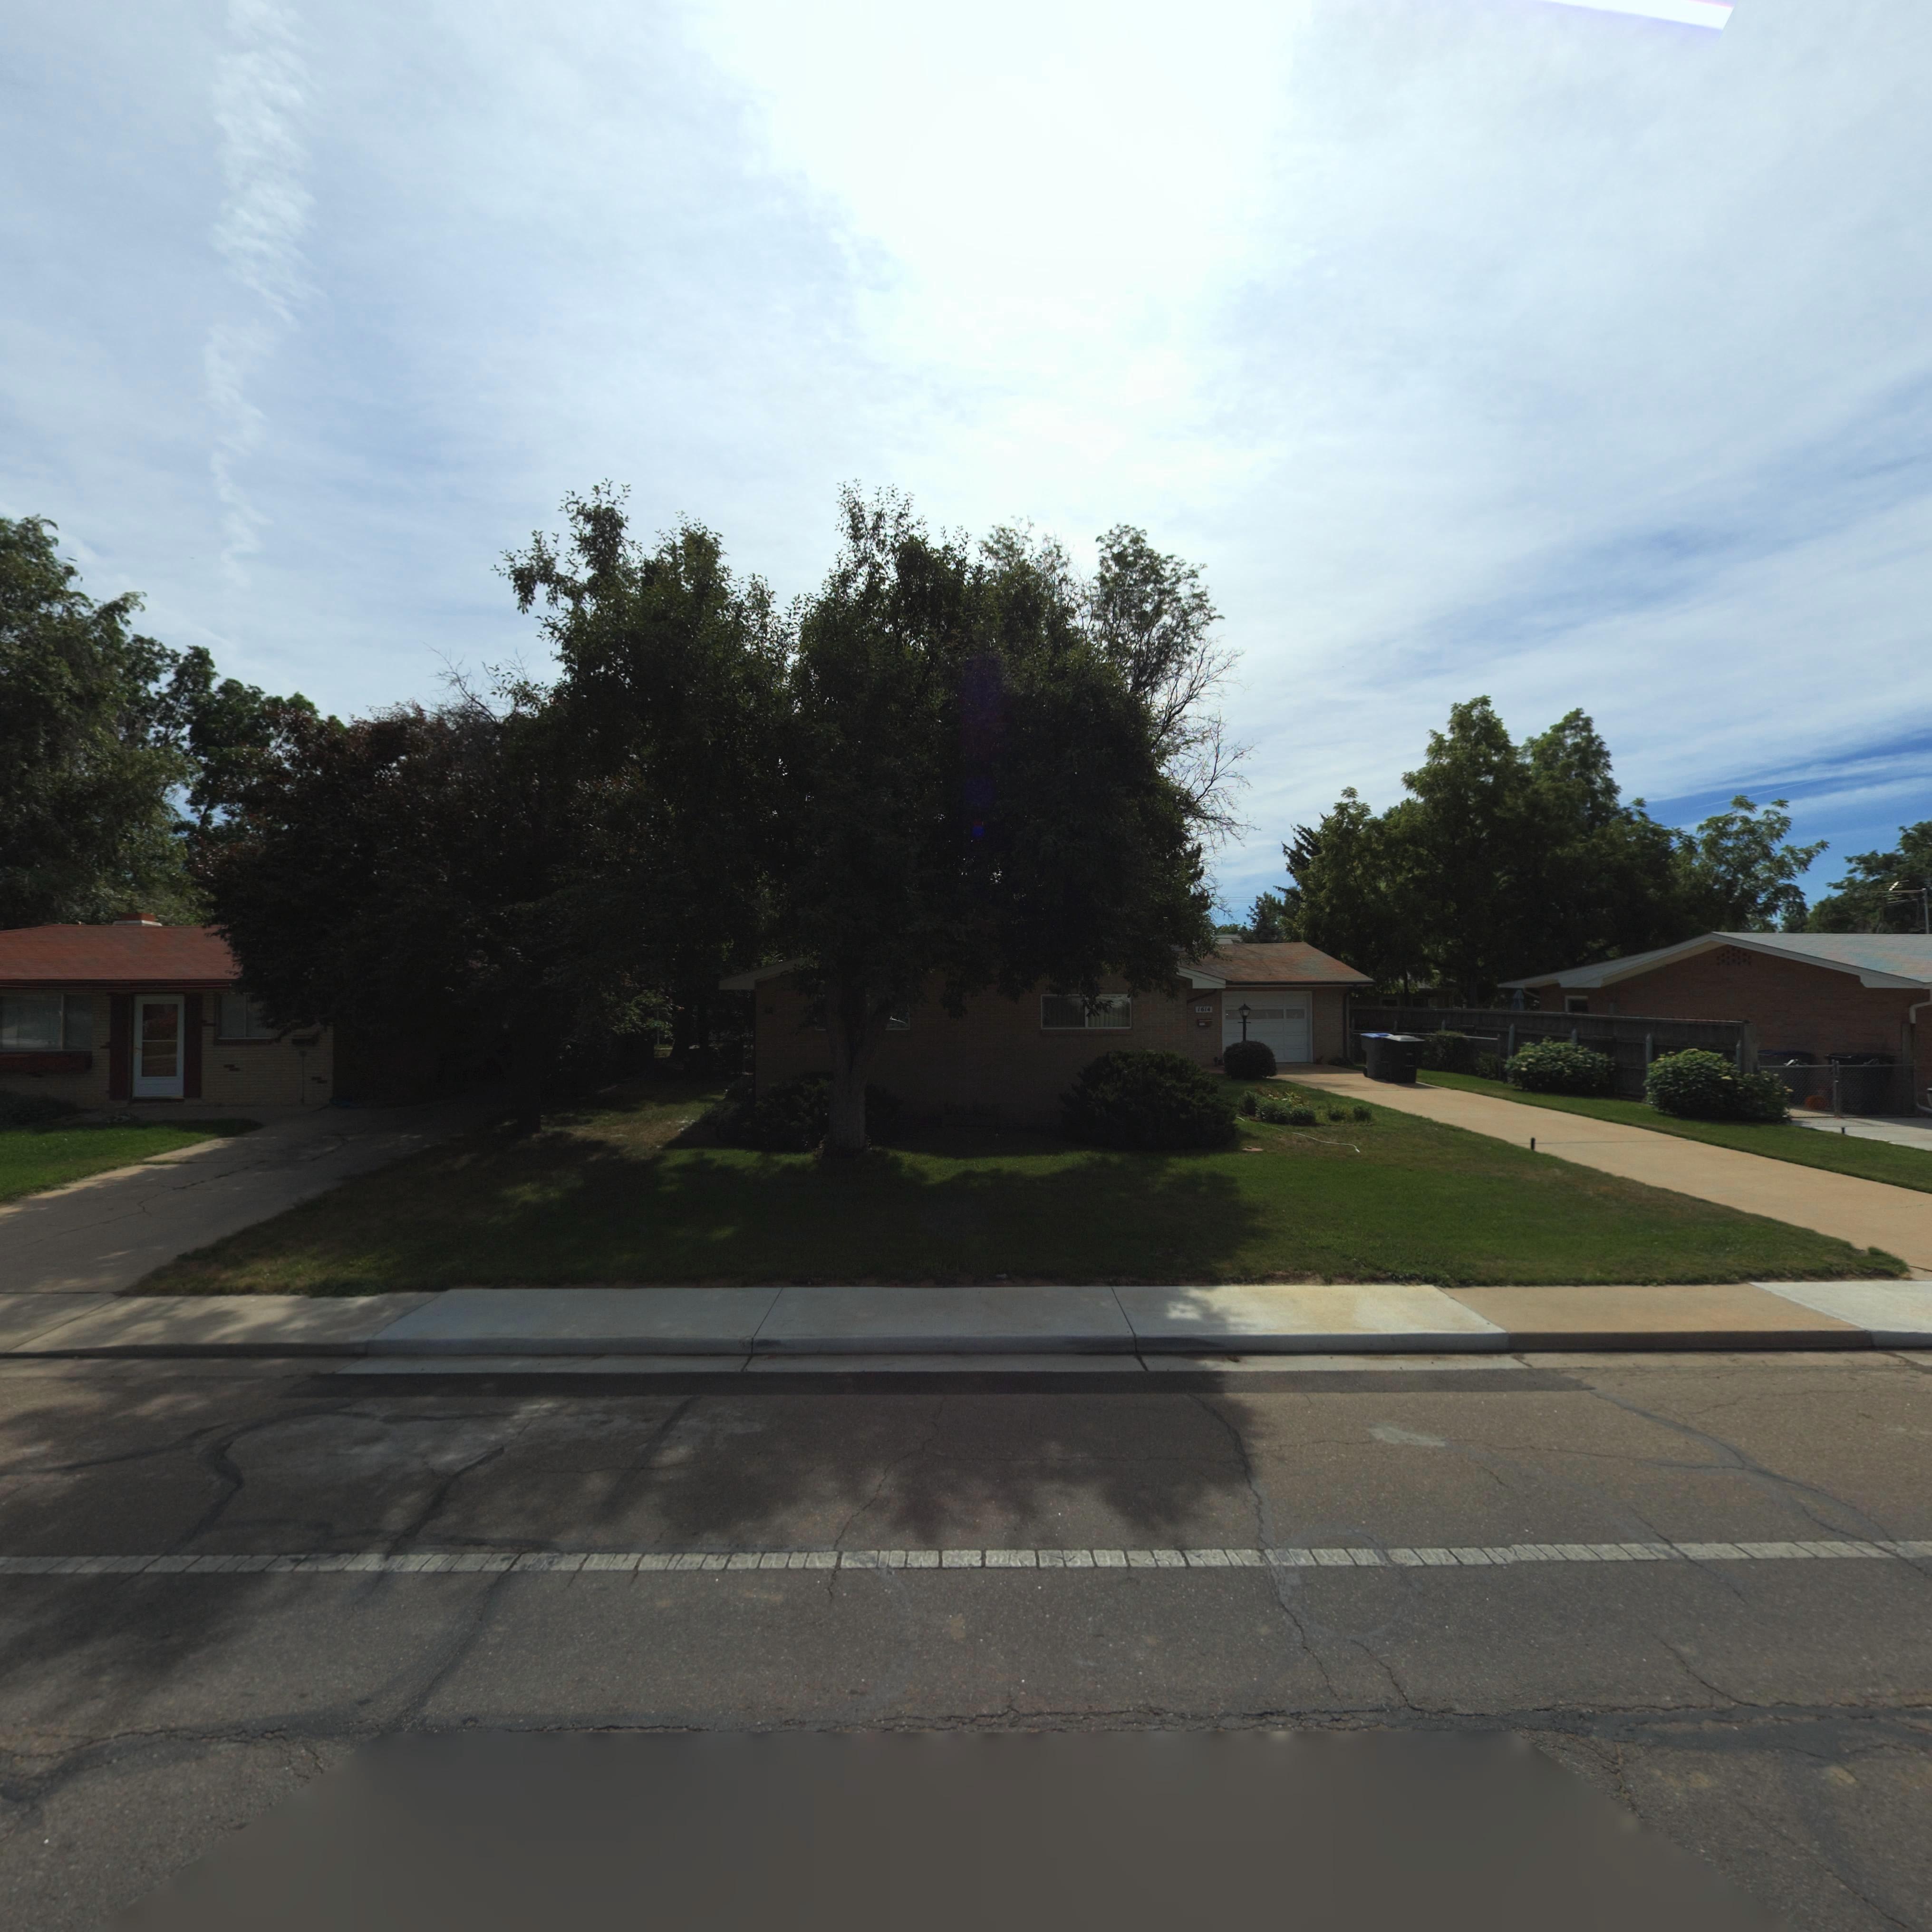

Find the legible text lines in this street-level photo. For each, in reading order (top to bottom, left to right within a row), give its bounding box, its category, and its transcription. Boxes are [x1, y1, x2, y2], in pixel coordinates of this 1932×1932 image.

[1197, 1006, 1210, 1012] StreetNumber: 1614